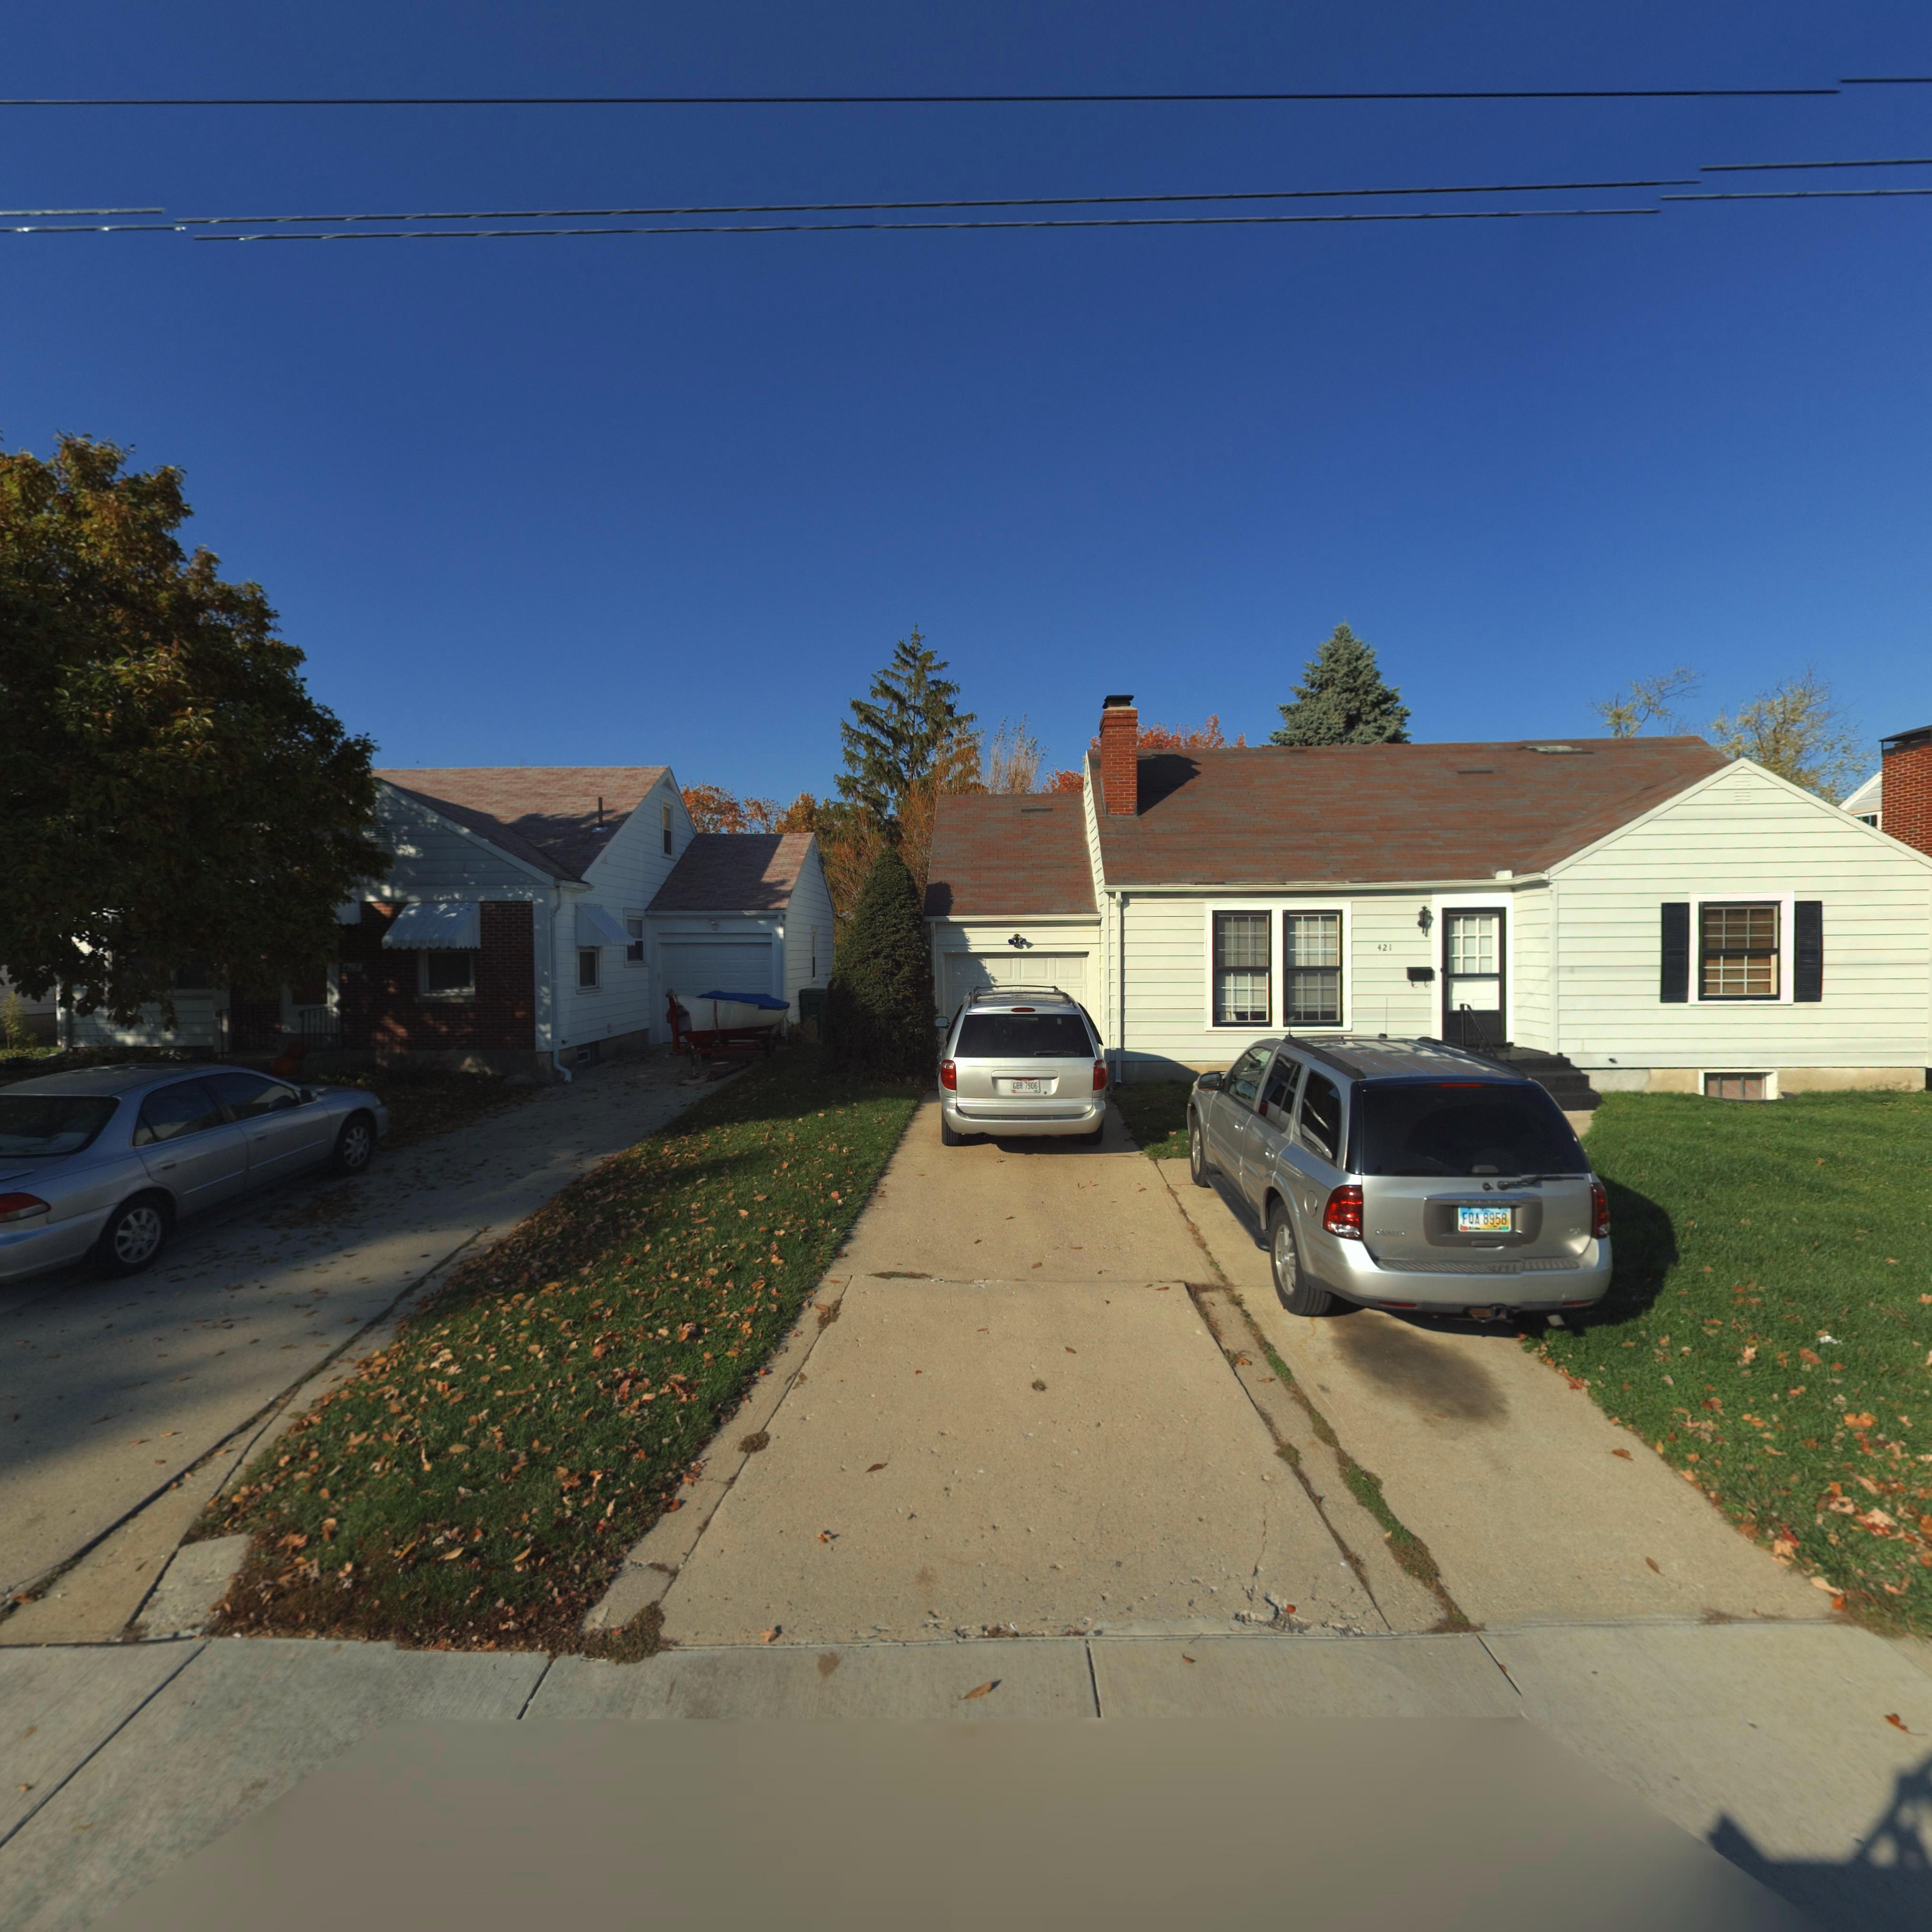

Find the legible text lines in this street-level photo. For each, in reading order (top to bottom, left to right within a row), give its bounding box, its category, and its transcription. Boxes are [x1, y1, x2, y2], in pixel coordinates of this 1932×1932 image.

[1377, 944, 1392, 951] StreetNumber: 421
[341, 963, 361, 972] StreetNumber: 417